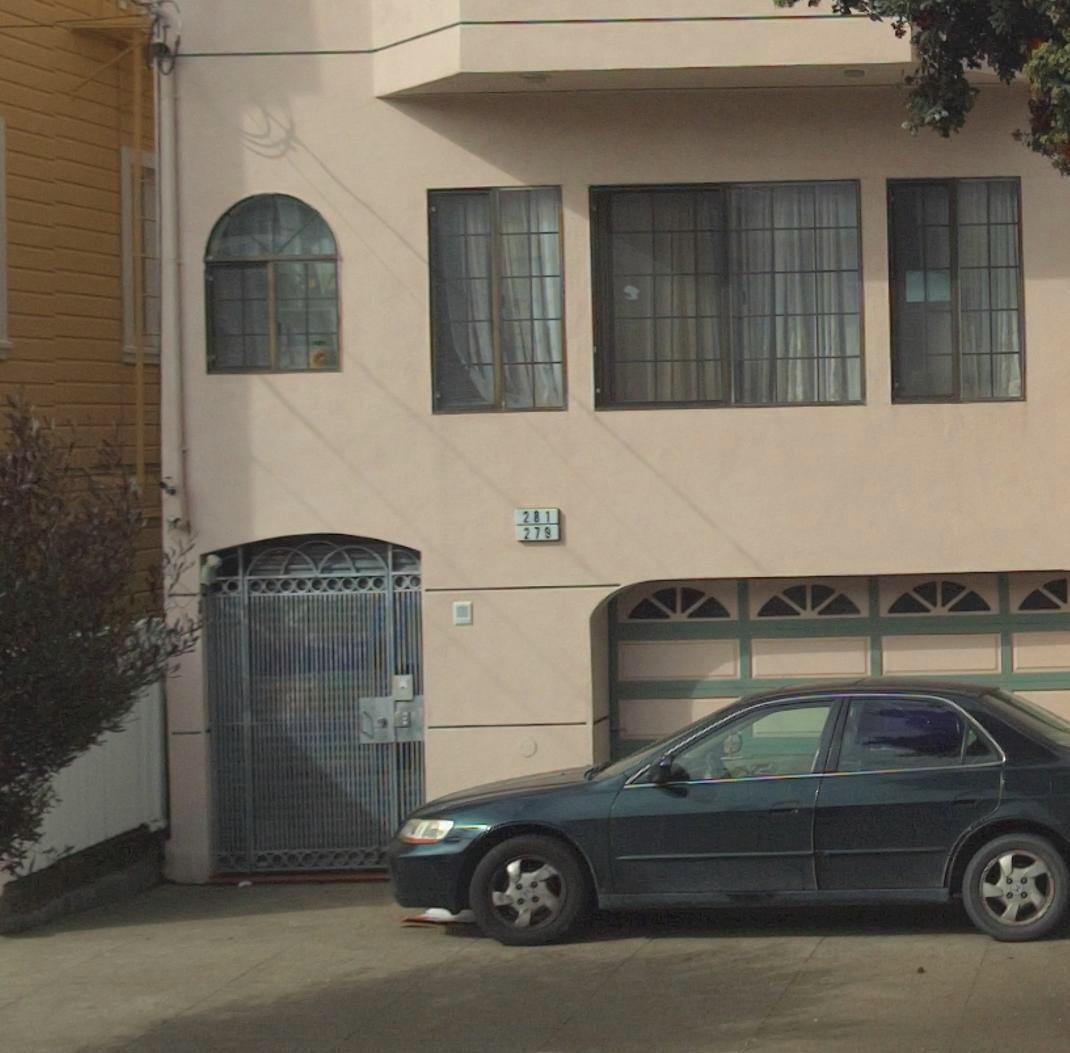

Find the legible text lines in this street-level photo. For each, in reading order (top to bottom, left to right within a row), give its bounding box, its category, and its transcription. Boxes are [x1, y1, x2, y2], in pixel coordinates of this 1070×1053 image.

[522, 509, 551, 524] StreetNumber: 281
[522, 526, 553, 540] StreetNumber: 279